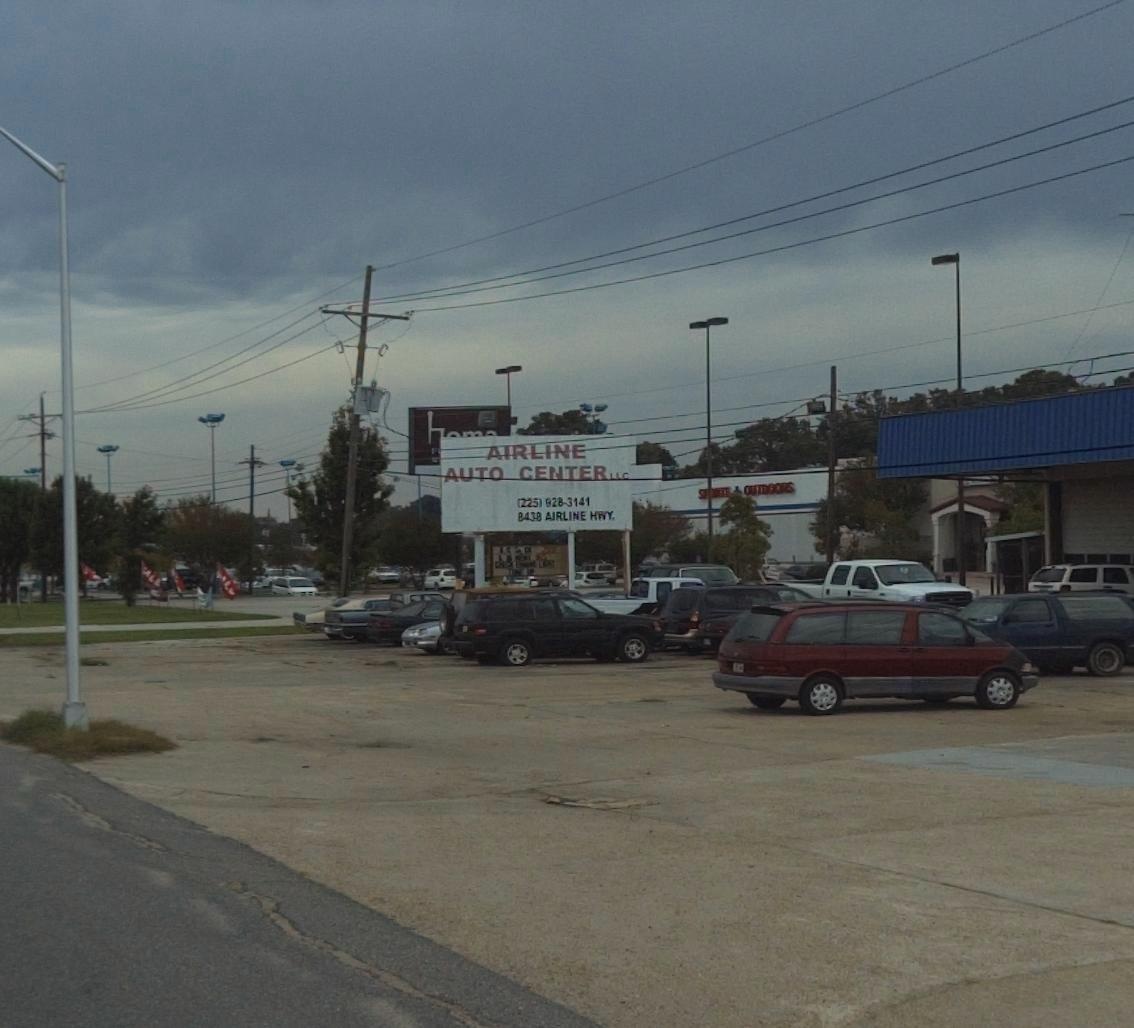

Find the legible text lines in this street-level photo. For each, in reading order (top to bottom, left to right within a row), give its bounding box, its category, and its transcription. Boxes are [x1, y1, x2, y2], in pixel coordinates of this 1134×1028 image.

[484, 443, 588, 461] BusinessName: AIRLINE
[442, 465, 630, 484] BusinessName: *UTO CENTER LLC
[742, 480, 798, 497] None: OUTDOORS
[516, 495, 592, 510] None: (225) *28-3141
[517, 511, 543, 523] StreetNumber: 8438
[545, 510, 614, 521] StreetName: AIRLINE HWY